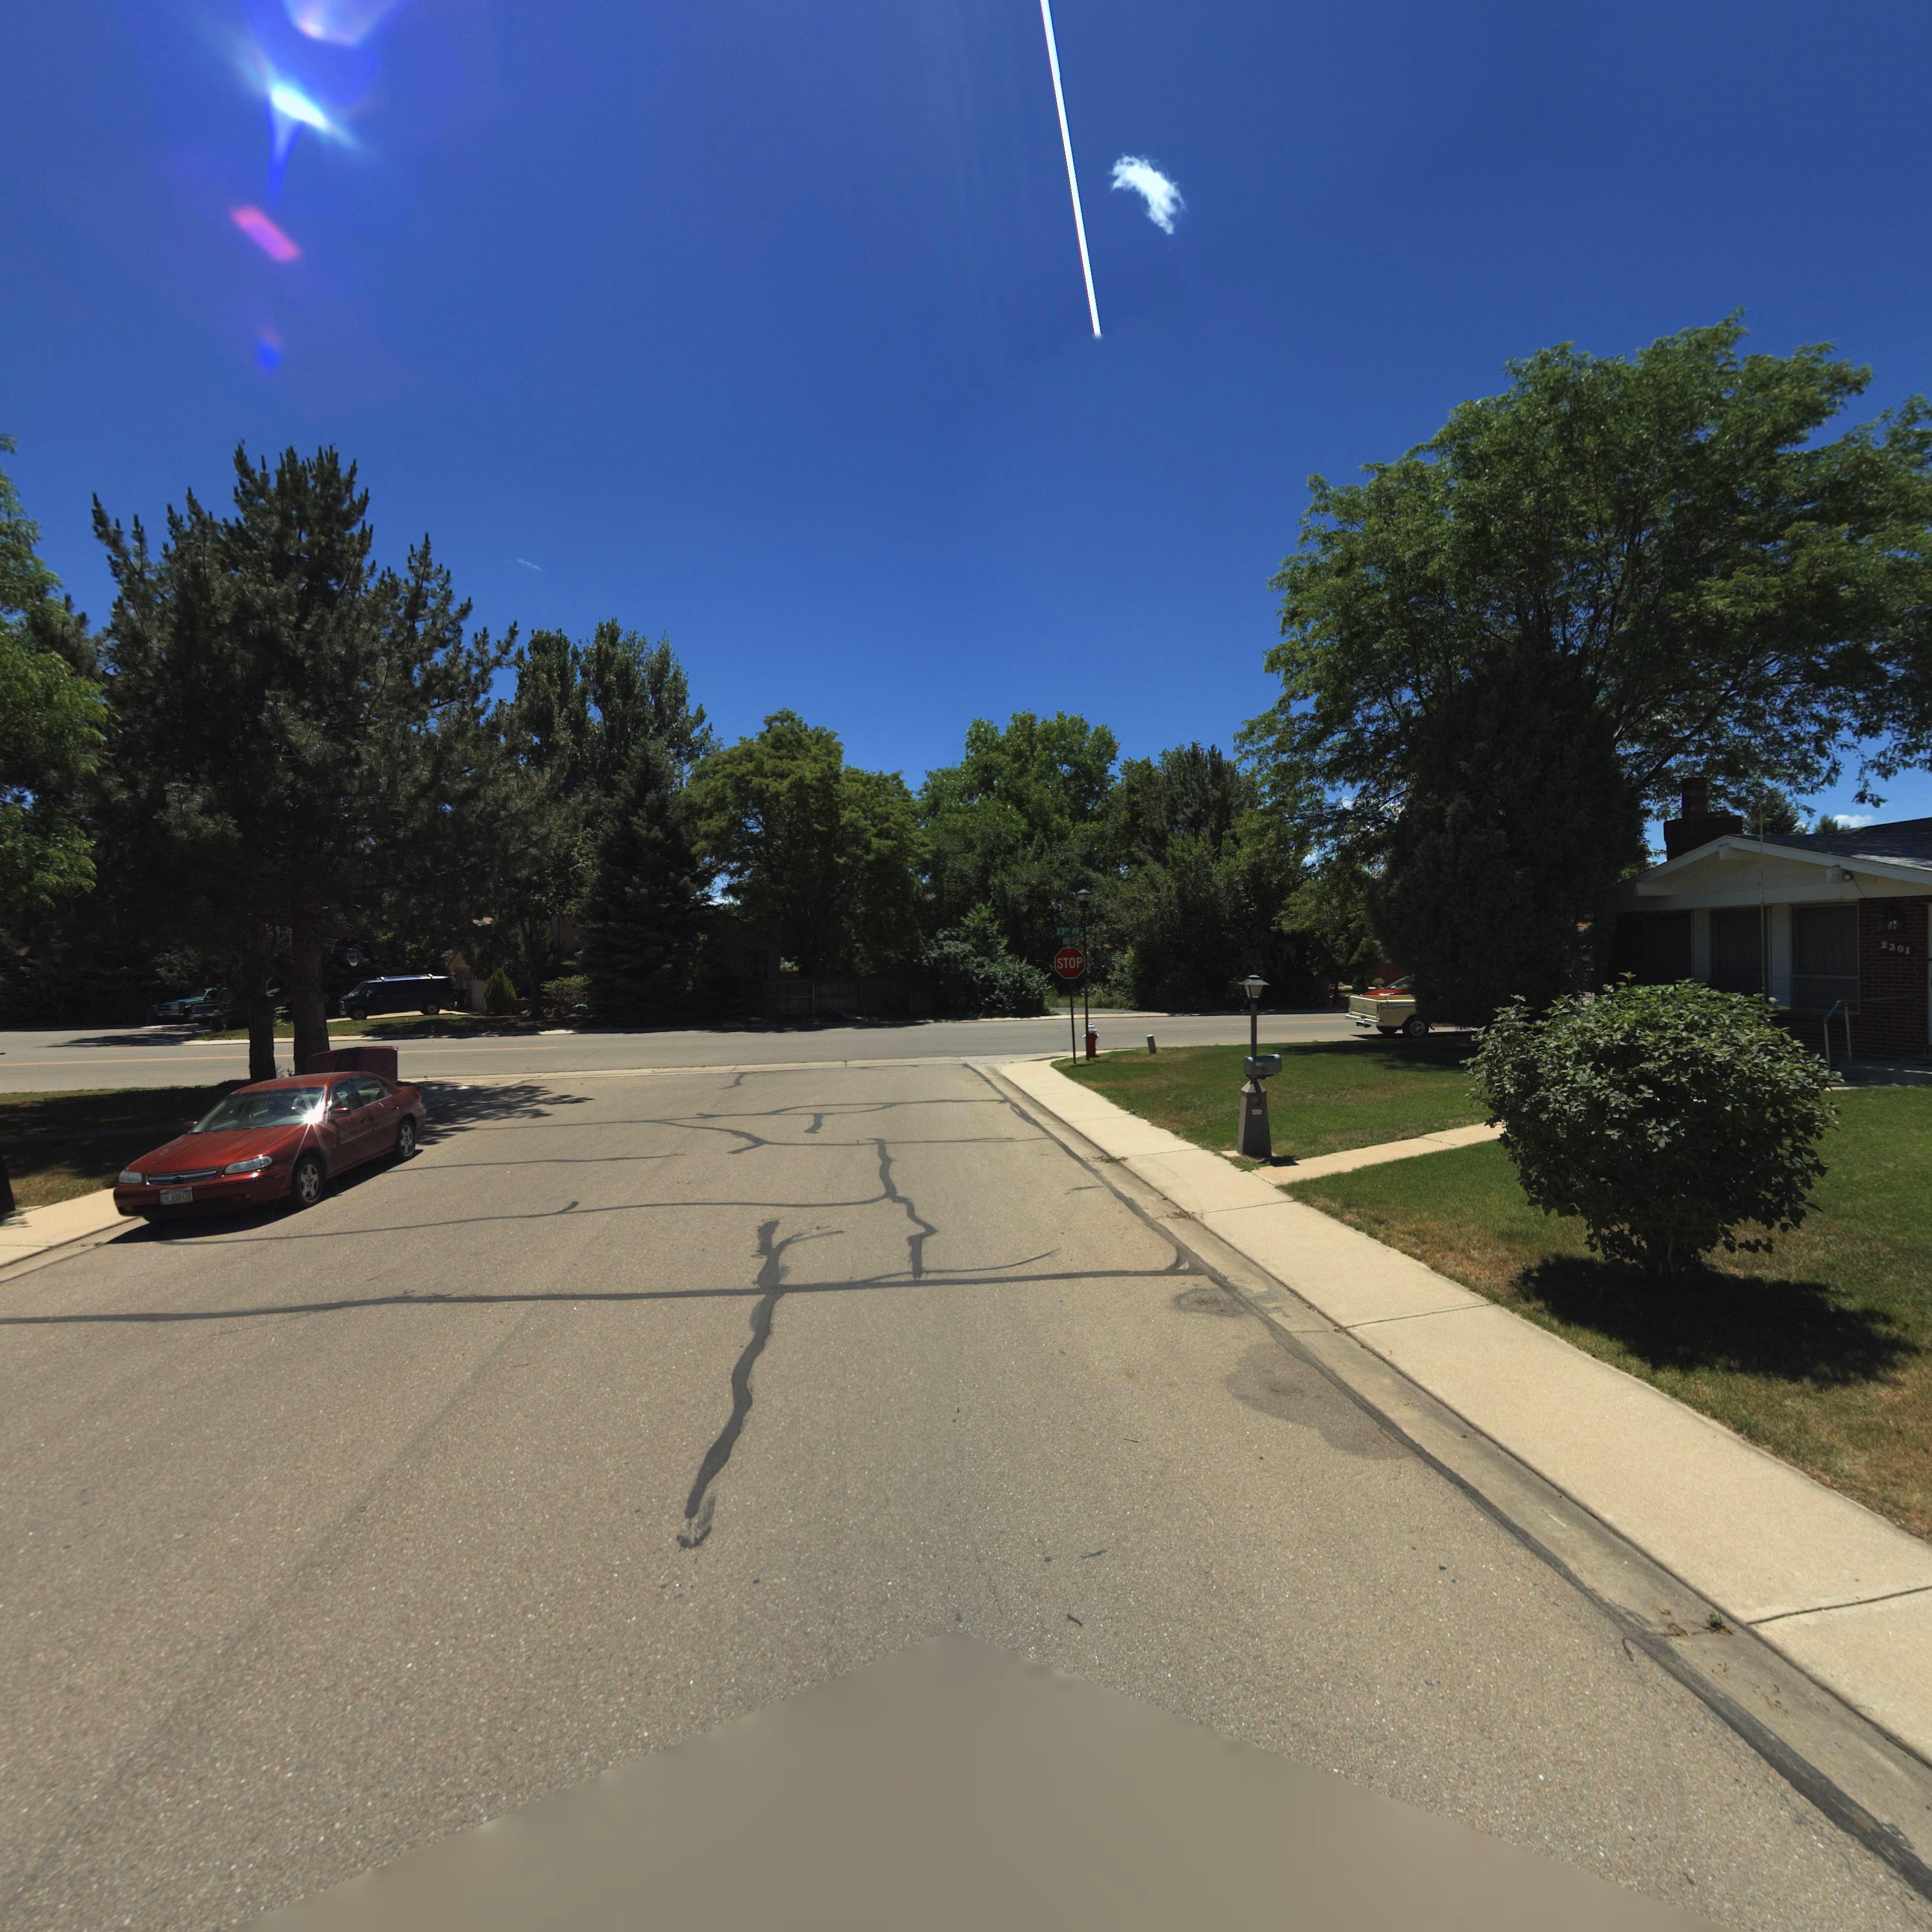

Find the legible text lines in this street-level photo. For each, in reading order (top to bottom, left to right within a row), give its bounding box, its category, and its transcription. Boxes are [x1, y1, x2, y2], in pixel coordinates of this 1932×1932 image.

[1056, 926, 1080, 936] StreetName: 23RD AV
[1879, 939, 1911, 956] StreetNumber: 2301